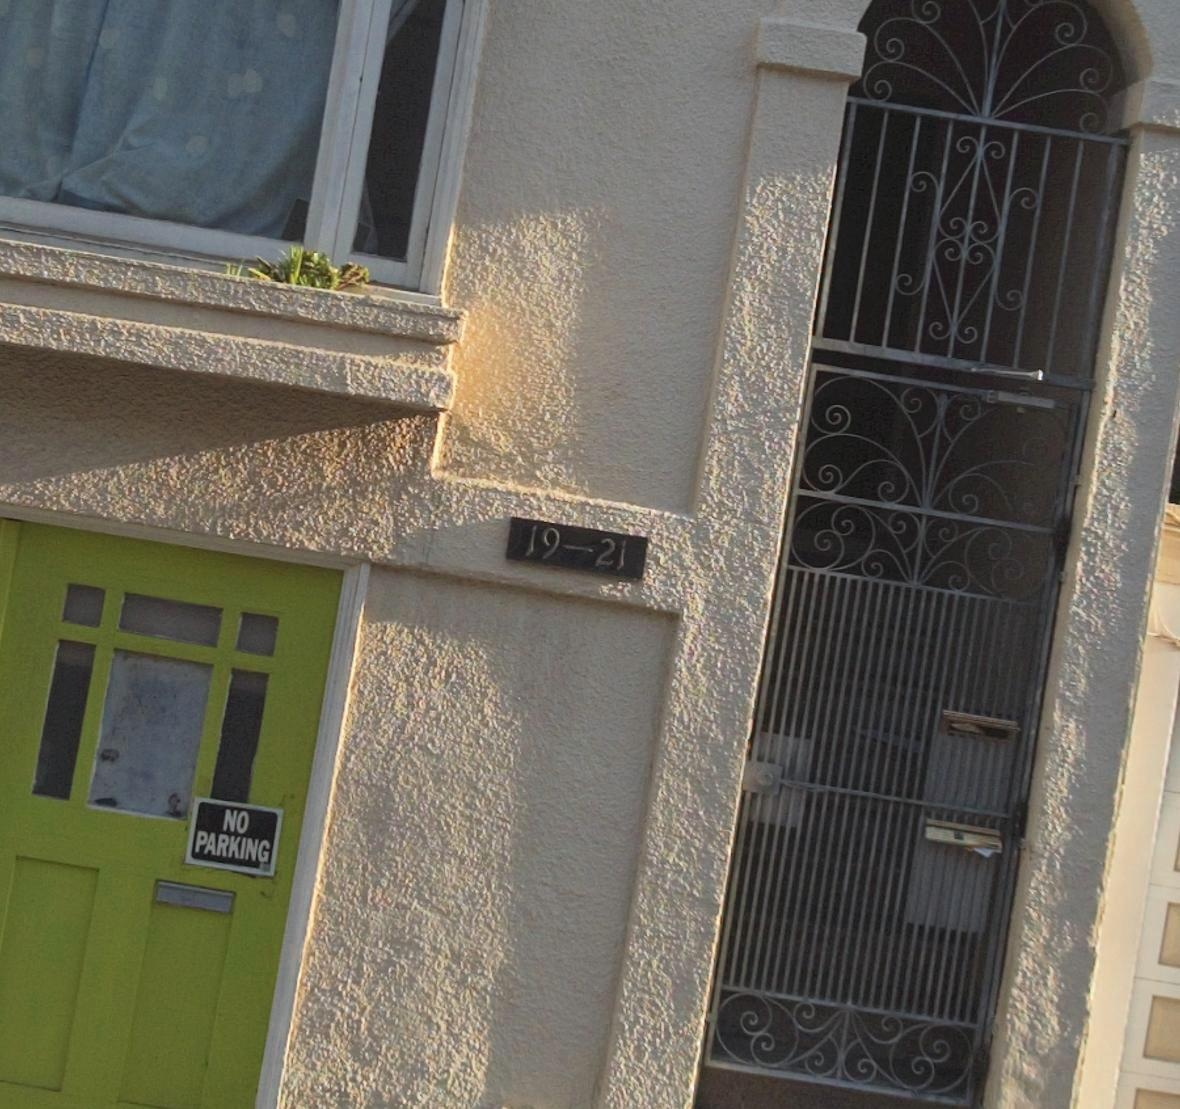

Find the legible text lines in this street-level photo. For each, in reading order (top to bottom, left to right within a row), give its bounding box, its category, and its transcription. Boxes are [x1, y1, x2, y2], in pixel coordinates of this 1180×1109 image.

[522, 520, 632, 574] StreetNumber: 19-21
[220, 806, 253, 836] None: NO
[192, 827, 274, 865] None: PARKING